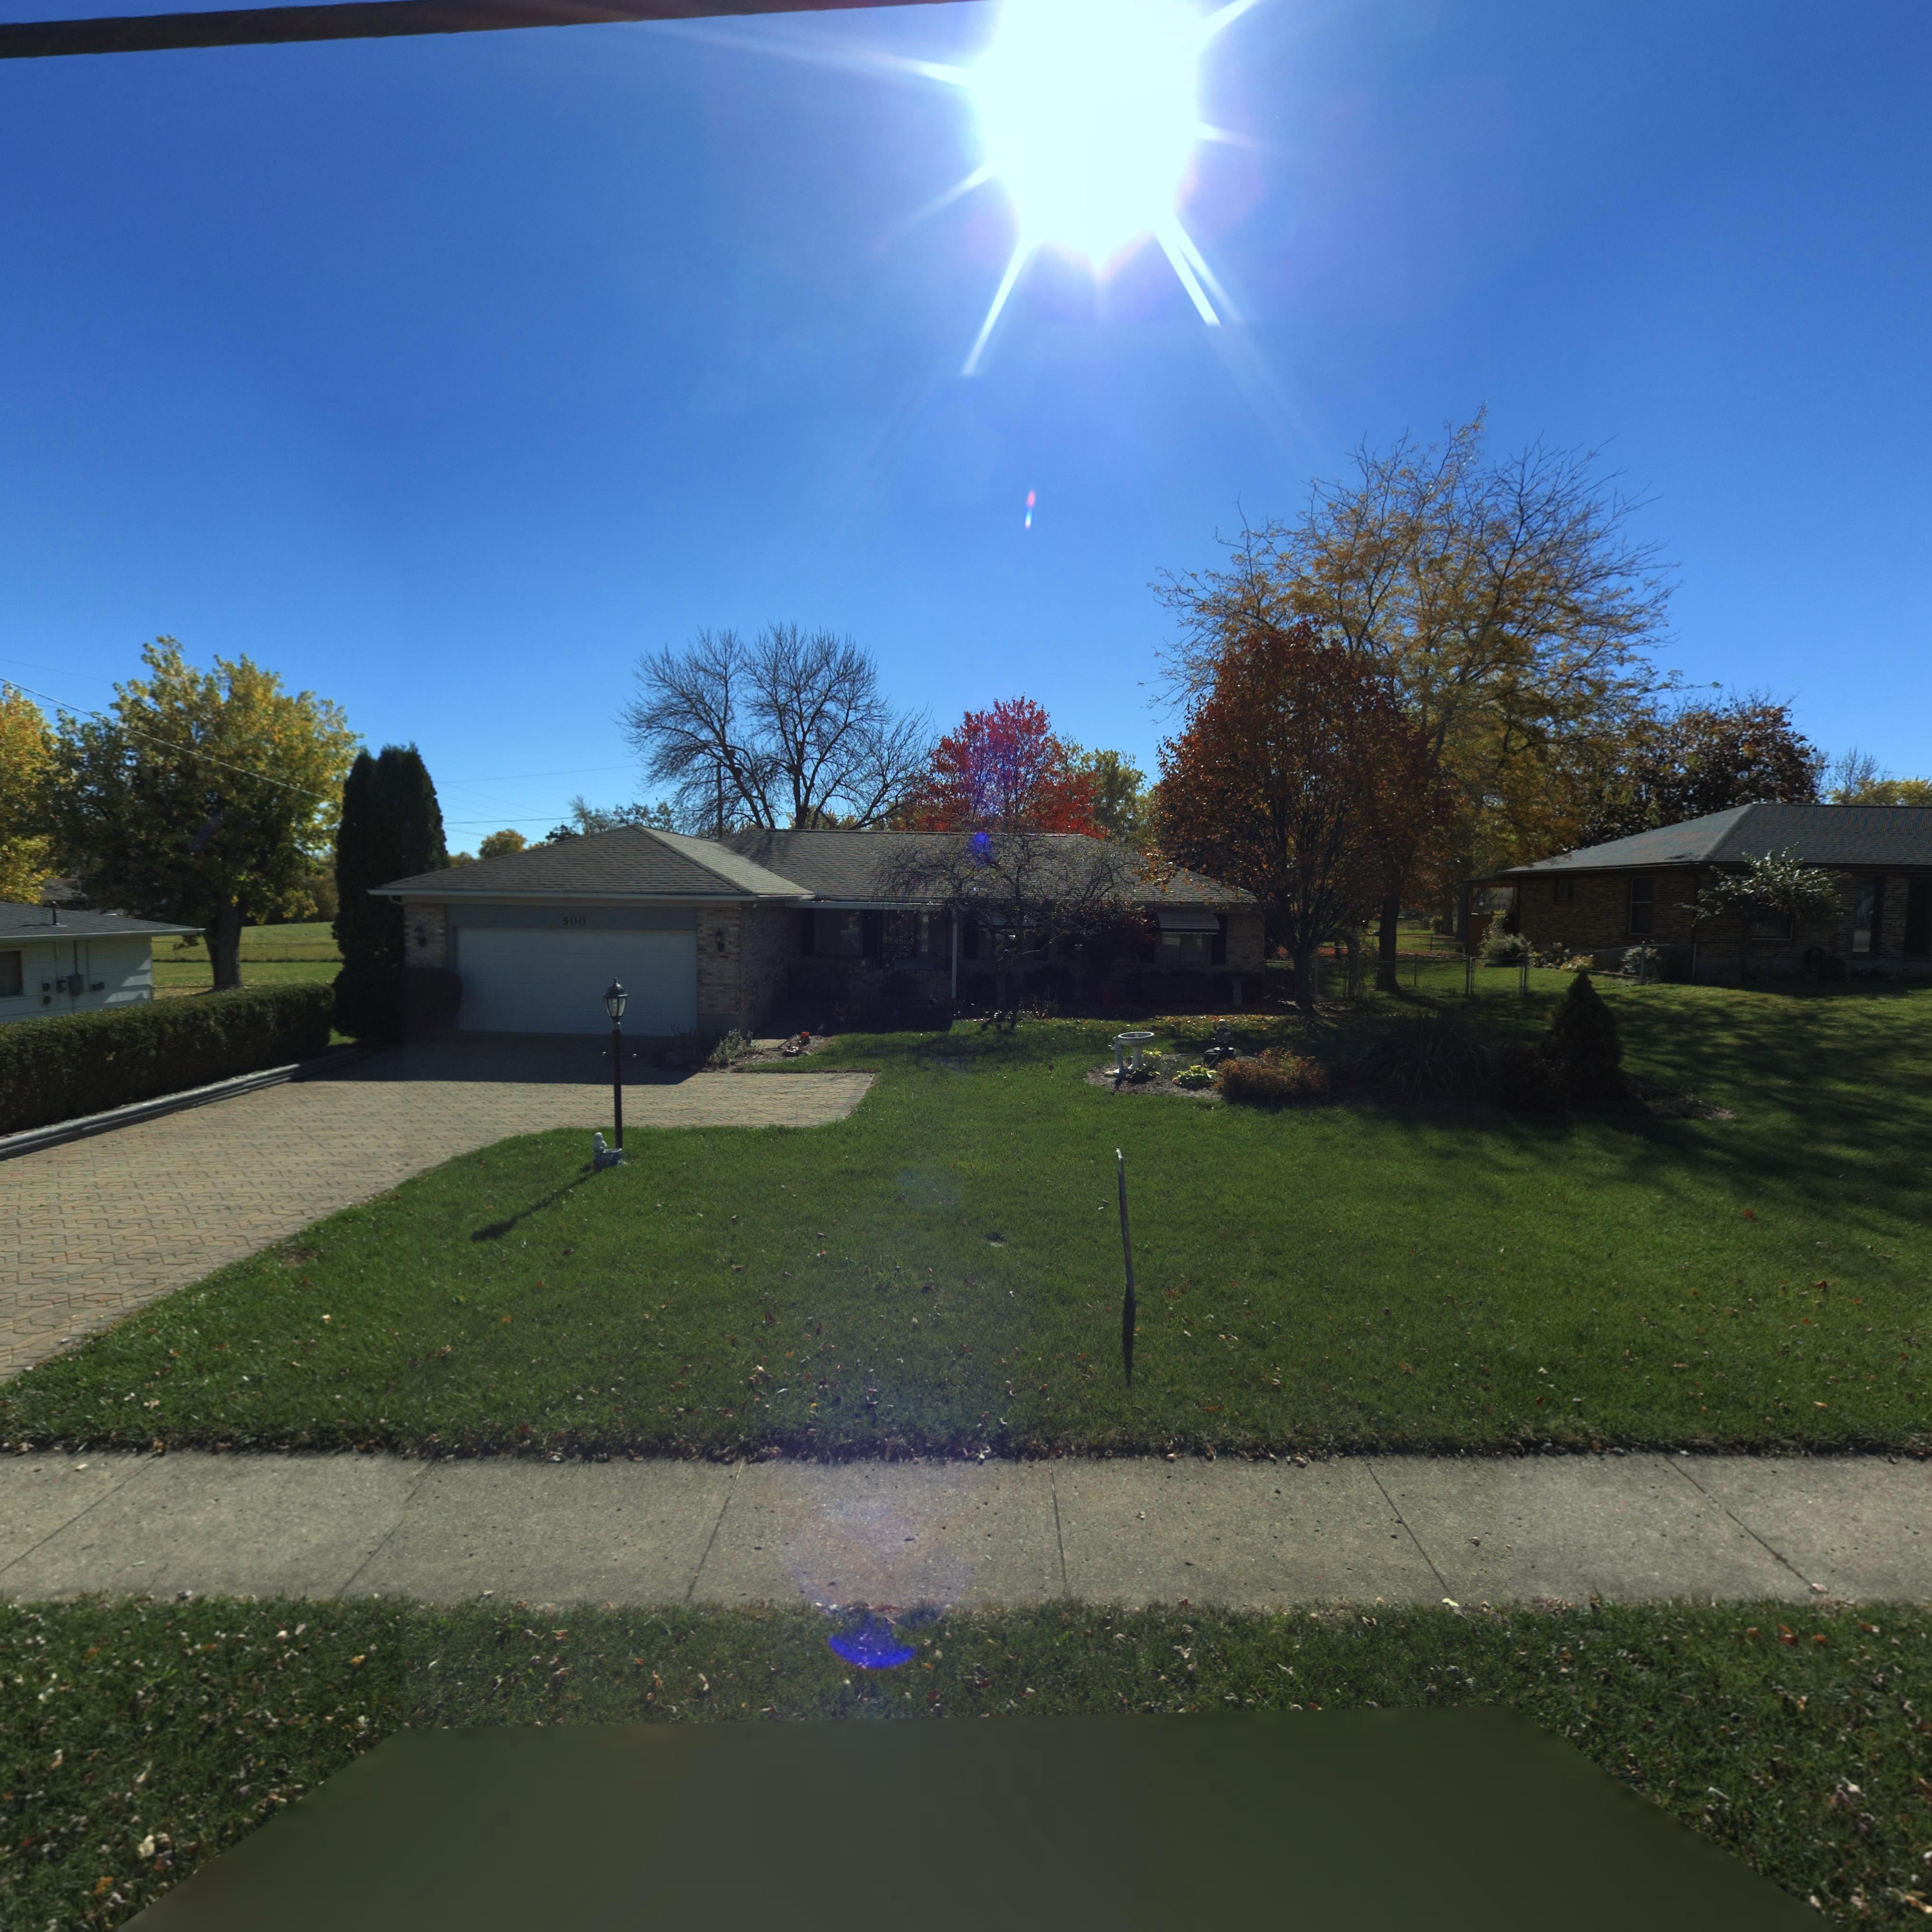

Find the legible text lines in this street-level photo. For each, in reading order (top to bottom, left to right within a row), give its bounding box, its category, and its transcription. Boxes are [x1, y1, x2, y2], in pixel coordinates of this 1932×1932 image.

[562, 916, 587, 927] StreetNumber: 500